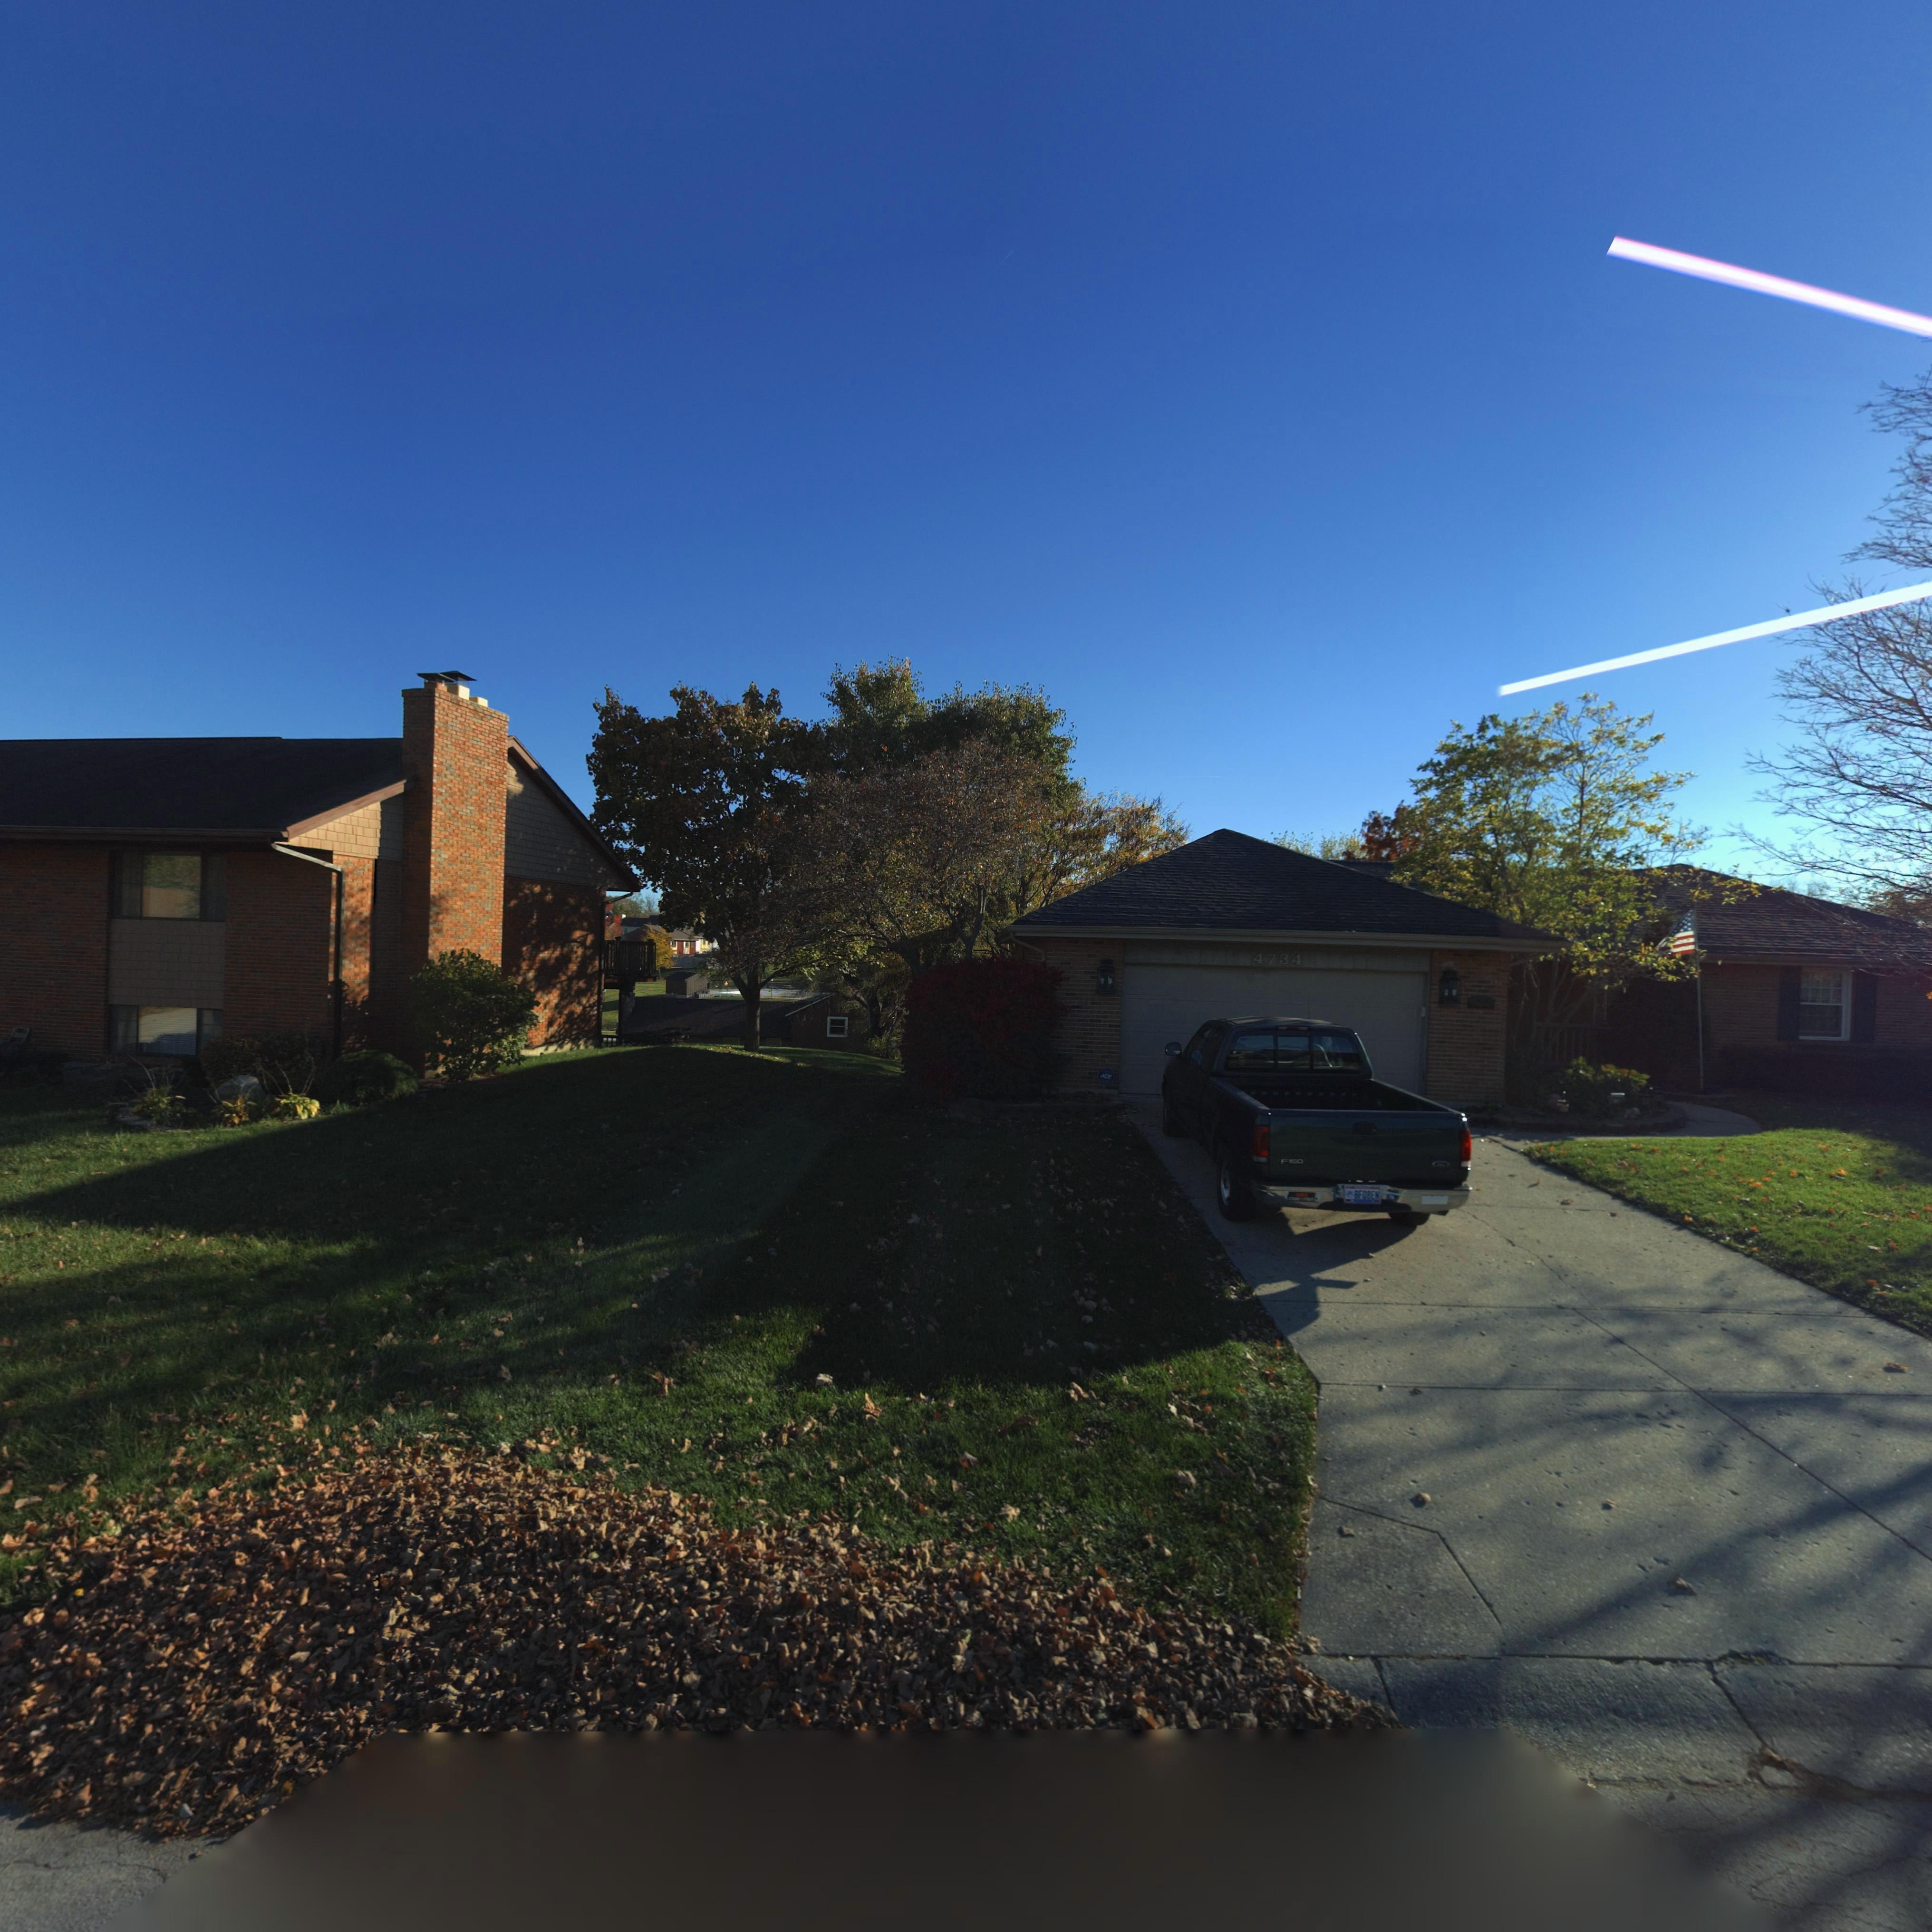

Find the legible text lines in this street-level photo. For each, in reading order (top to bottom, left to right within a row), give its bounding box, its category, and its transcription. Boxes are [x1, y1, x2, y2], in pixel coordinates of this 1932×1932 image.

[1251, 952, 1303, 966] StreetNumber: 4734